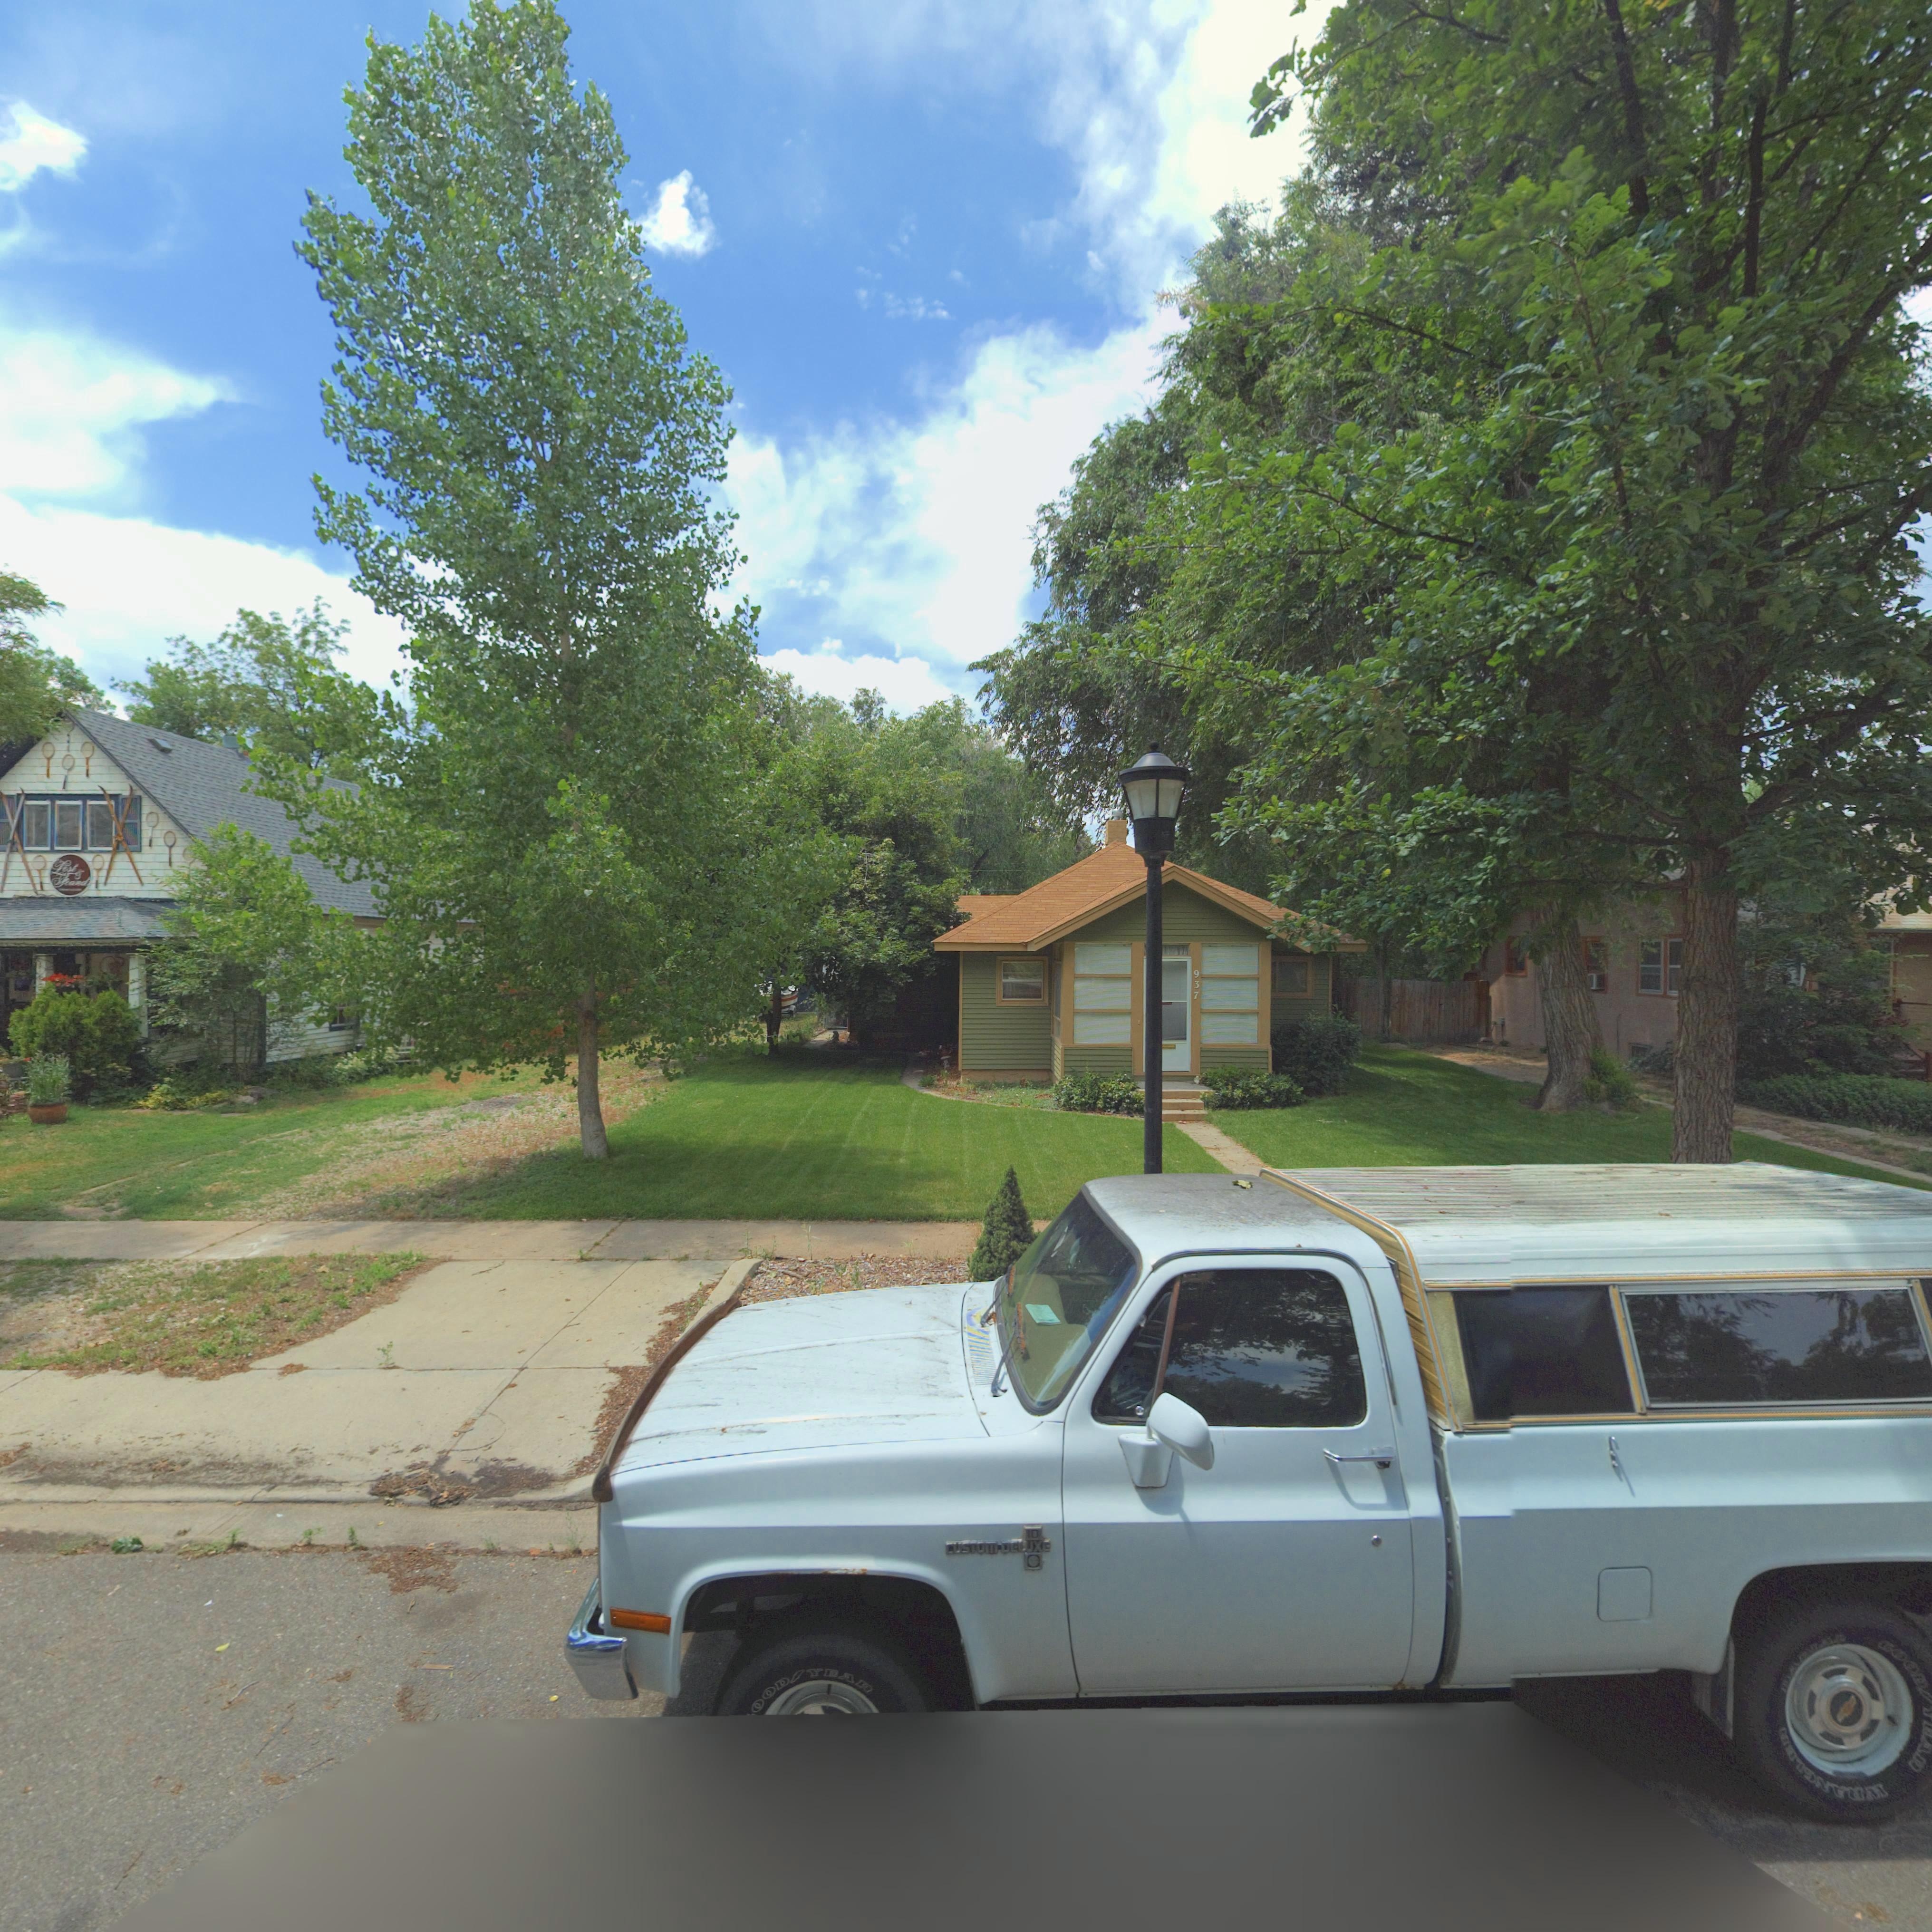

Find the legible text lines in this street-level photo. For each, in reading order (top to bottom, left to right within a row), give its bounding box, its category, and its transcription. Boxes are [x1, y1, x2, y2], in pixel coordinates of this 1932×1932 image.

[1193, 969, 1199, 999] StreetNumber: 937